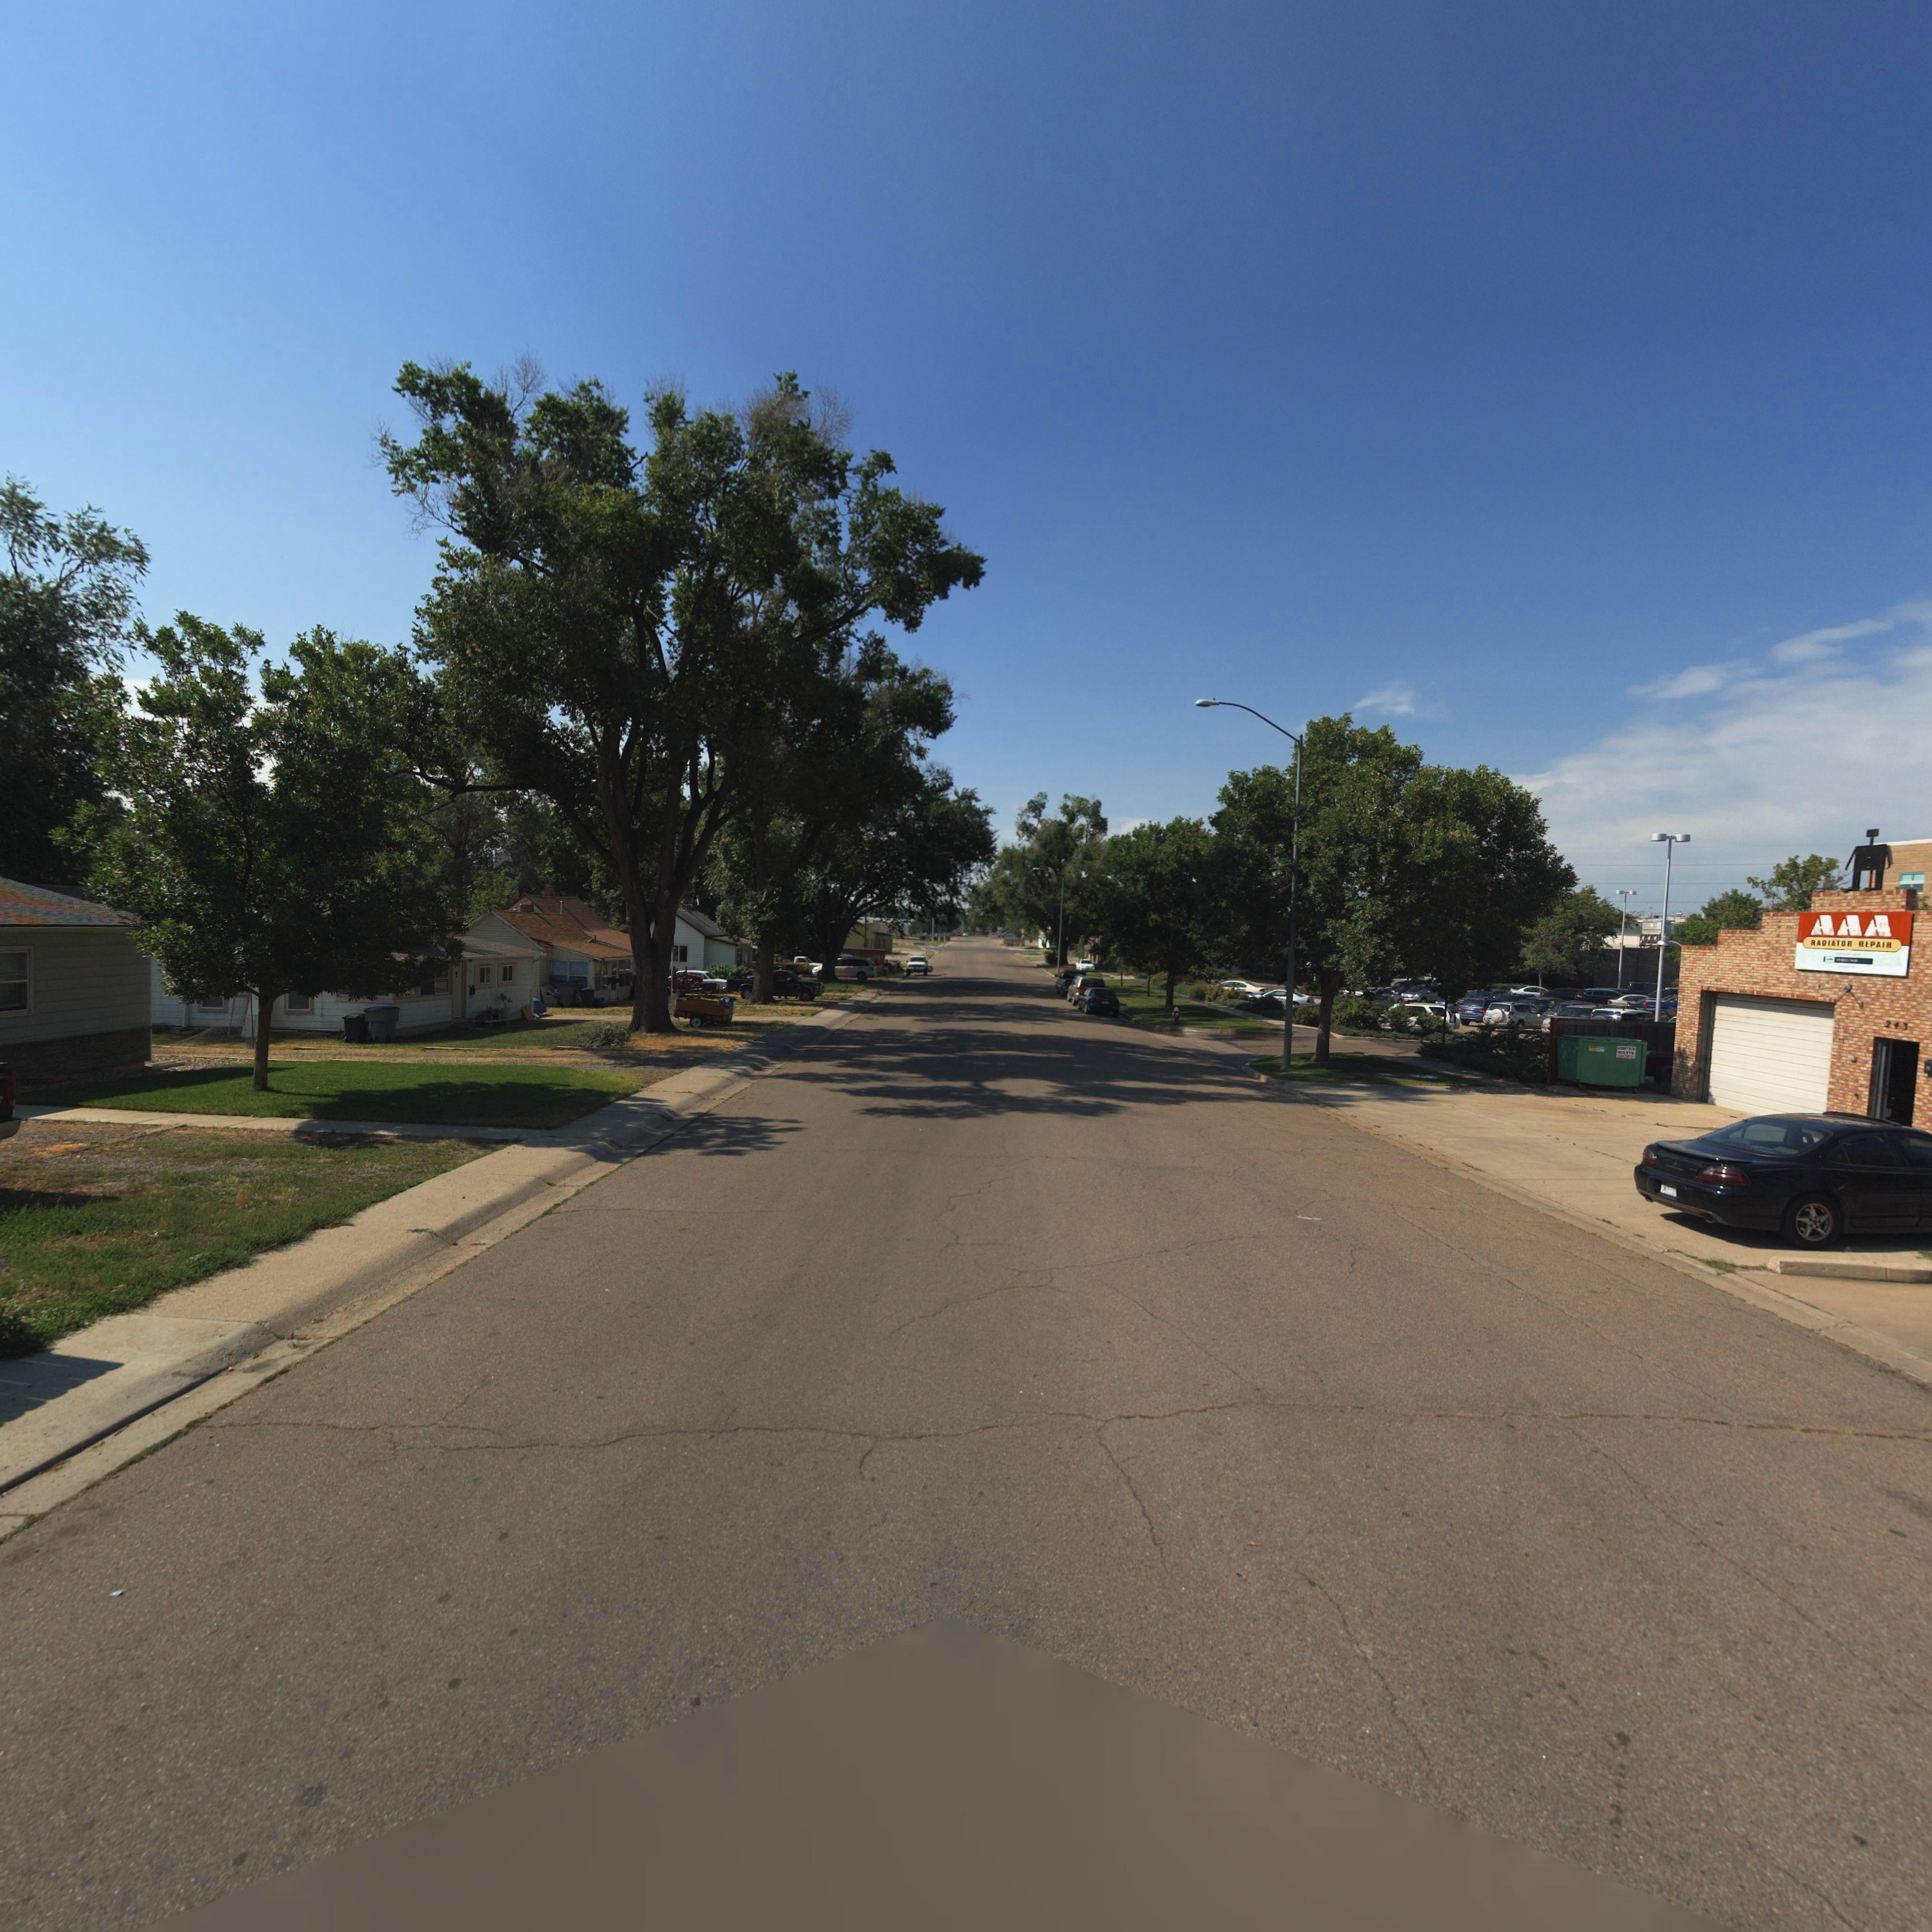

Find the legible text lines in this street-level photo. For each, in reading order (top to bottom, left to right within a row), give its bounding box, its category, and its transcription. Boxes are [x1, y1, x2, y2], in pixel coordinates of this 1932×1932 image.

[1809, 914, 1892, 937] BusinessName: AAA
[1811, 939, 1891, 948] BusinessName: RADIATOR REPAIR
[1884, 1020, 1908, 1031] StreetNumber: 243